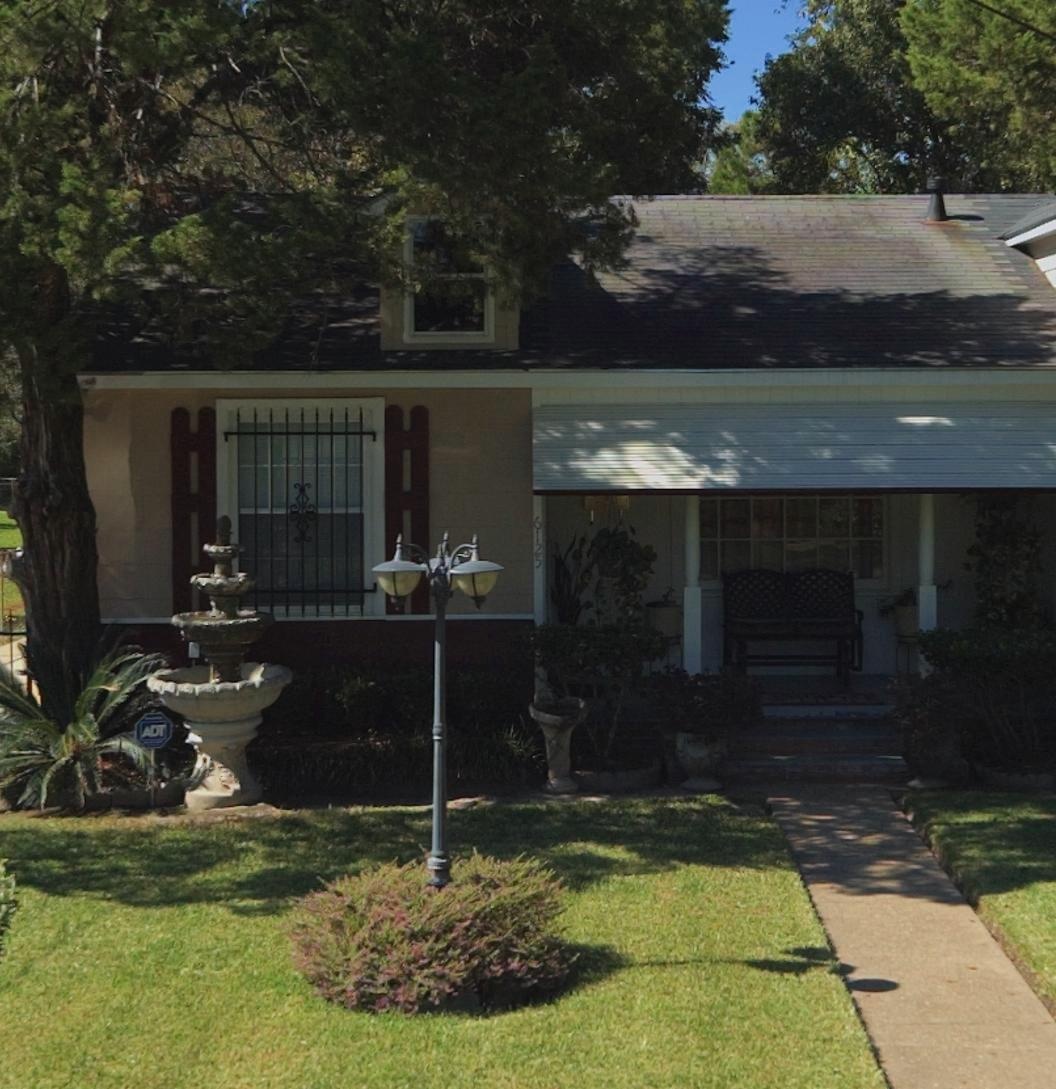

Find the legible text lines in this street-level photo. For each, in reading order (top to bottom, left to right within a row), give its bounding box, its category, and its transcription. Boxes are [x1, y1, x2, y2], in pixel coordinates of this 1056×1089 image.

[533, 515, 543, 570] StreetNumber: 6125
[140, 724, 167, 738] None: ADT